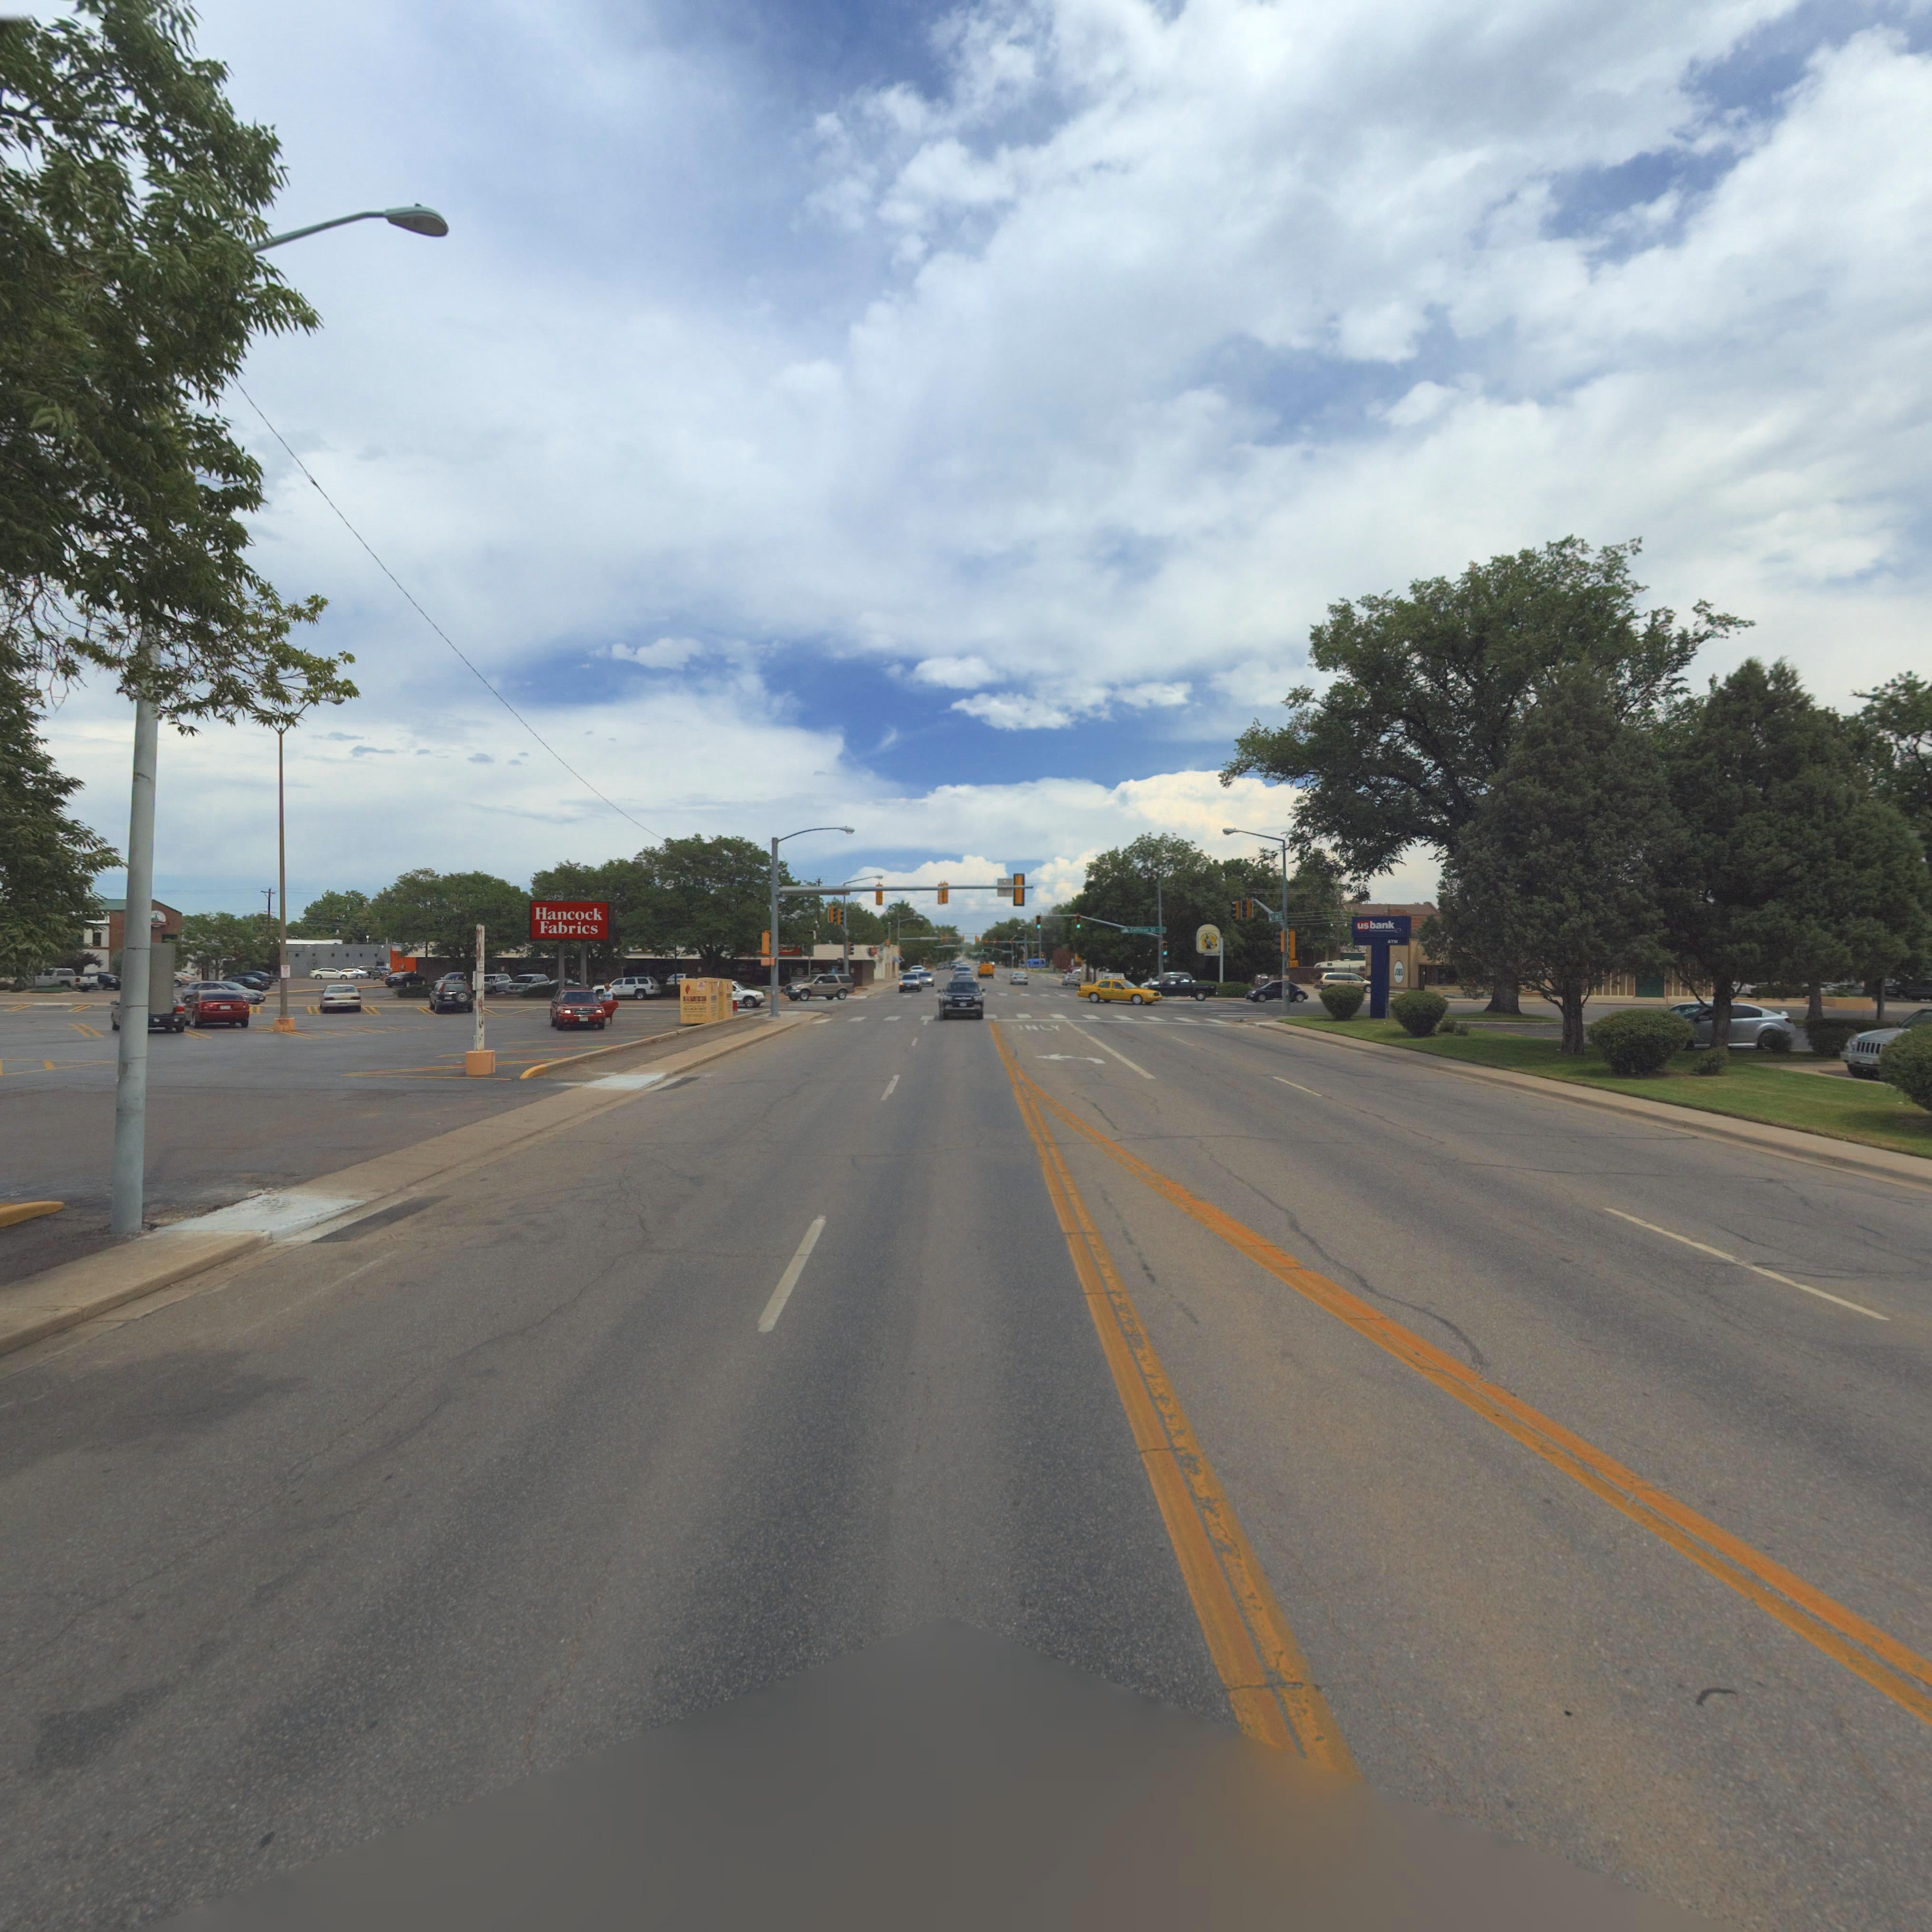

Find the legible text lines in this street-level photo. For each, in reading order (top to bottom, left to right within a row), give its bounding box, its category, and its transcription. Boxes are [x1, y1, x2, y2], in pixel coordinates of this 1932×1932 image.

[534, 907, 603, 920] BusinessName: Hancock
[1271, 913, 1278, 920] StreetName: 9** Ave
[539, 920, 598, 934] BusinessName: Fabrics
[1130, 927, 1155, 932] StreetName: Coffman St
[1357, 920, 1395, 929] BusinessName: usbank
[1394, 968, 1403, 976] BusinessName: JOBS